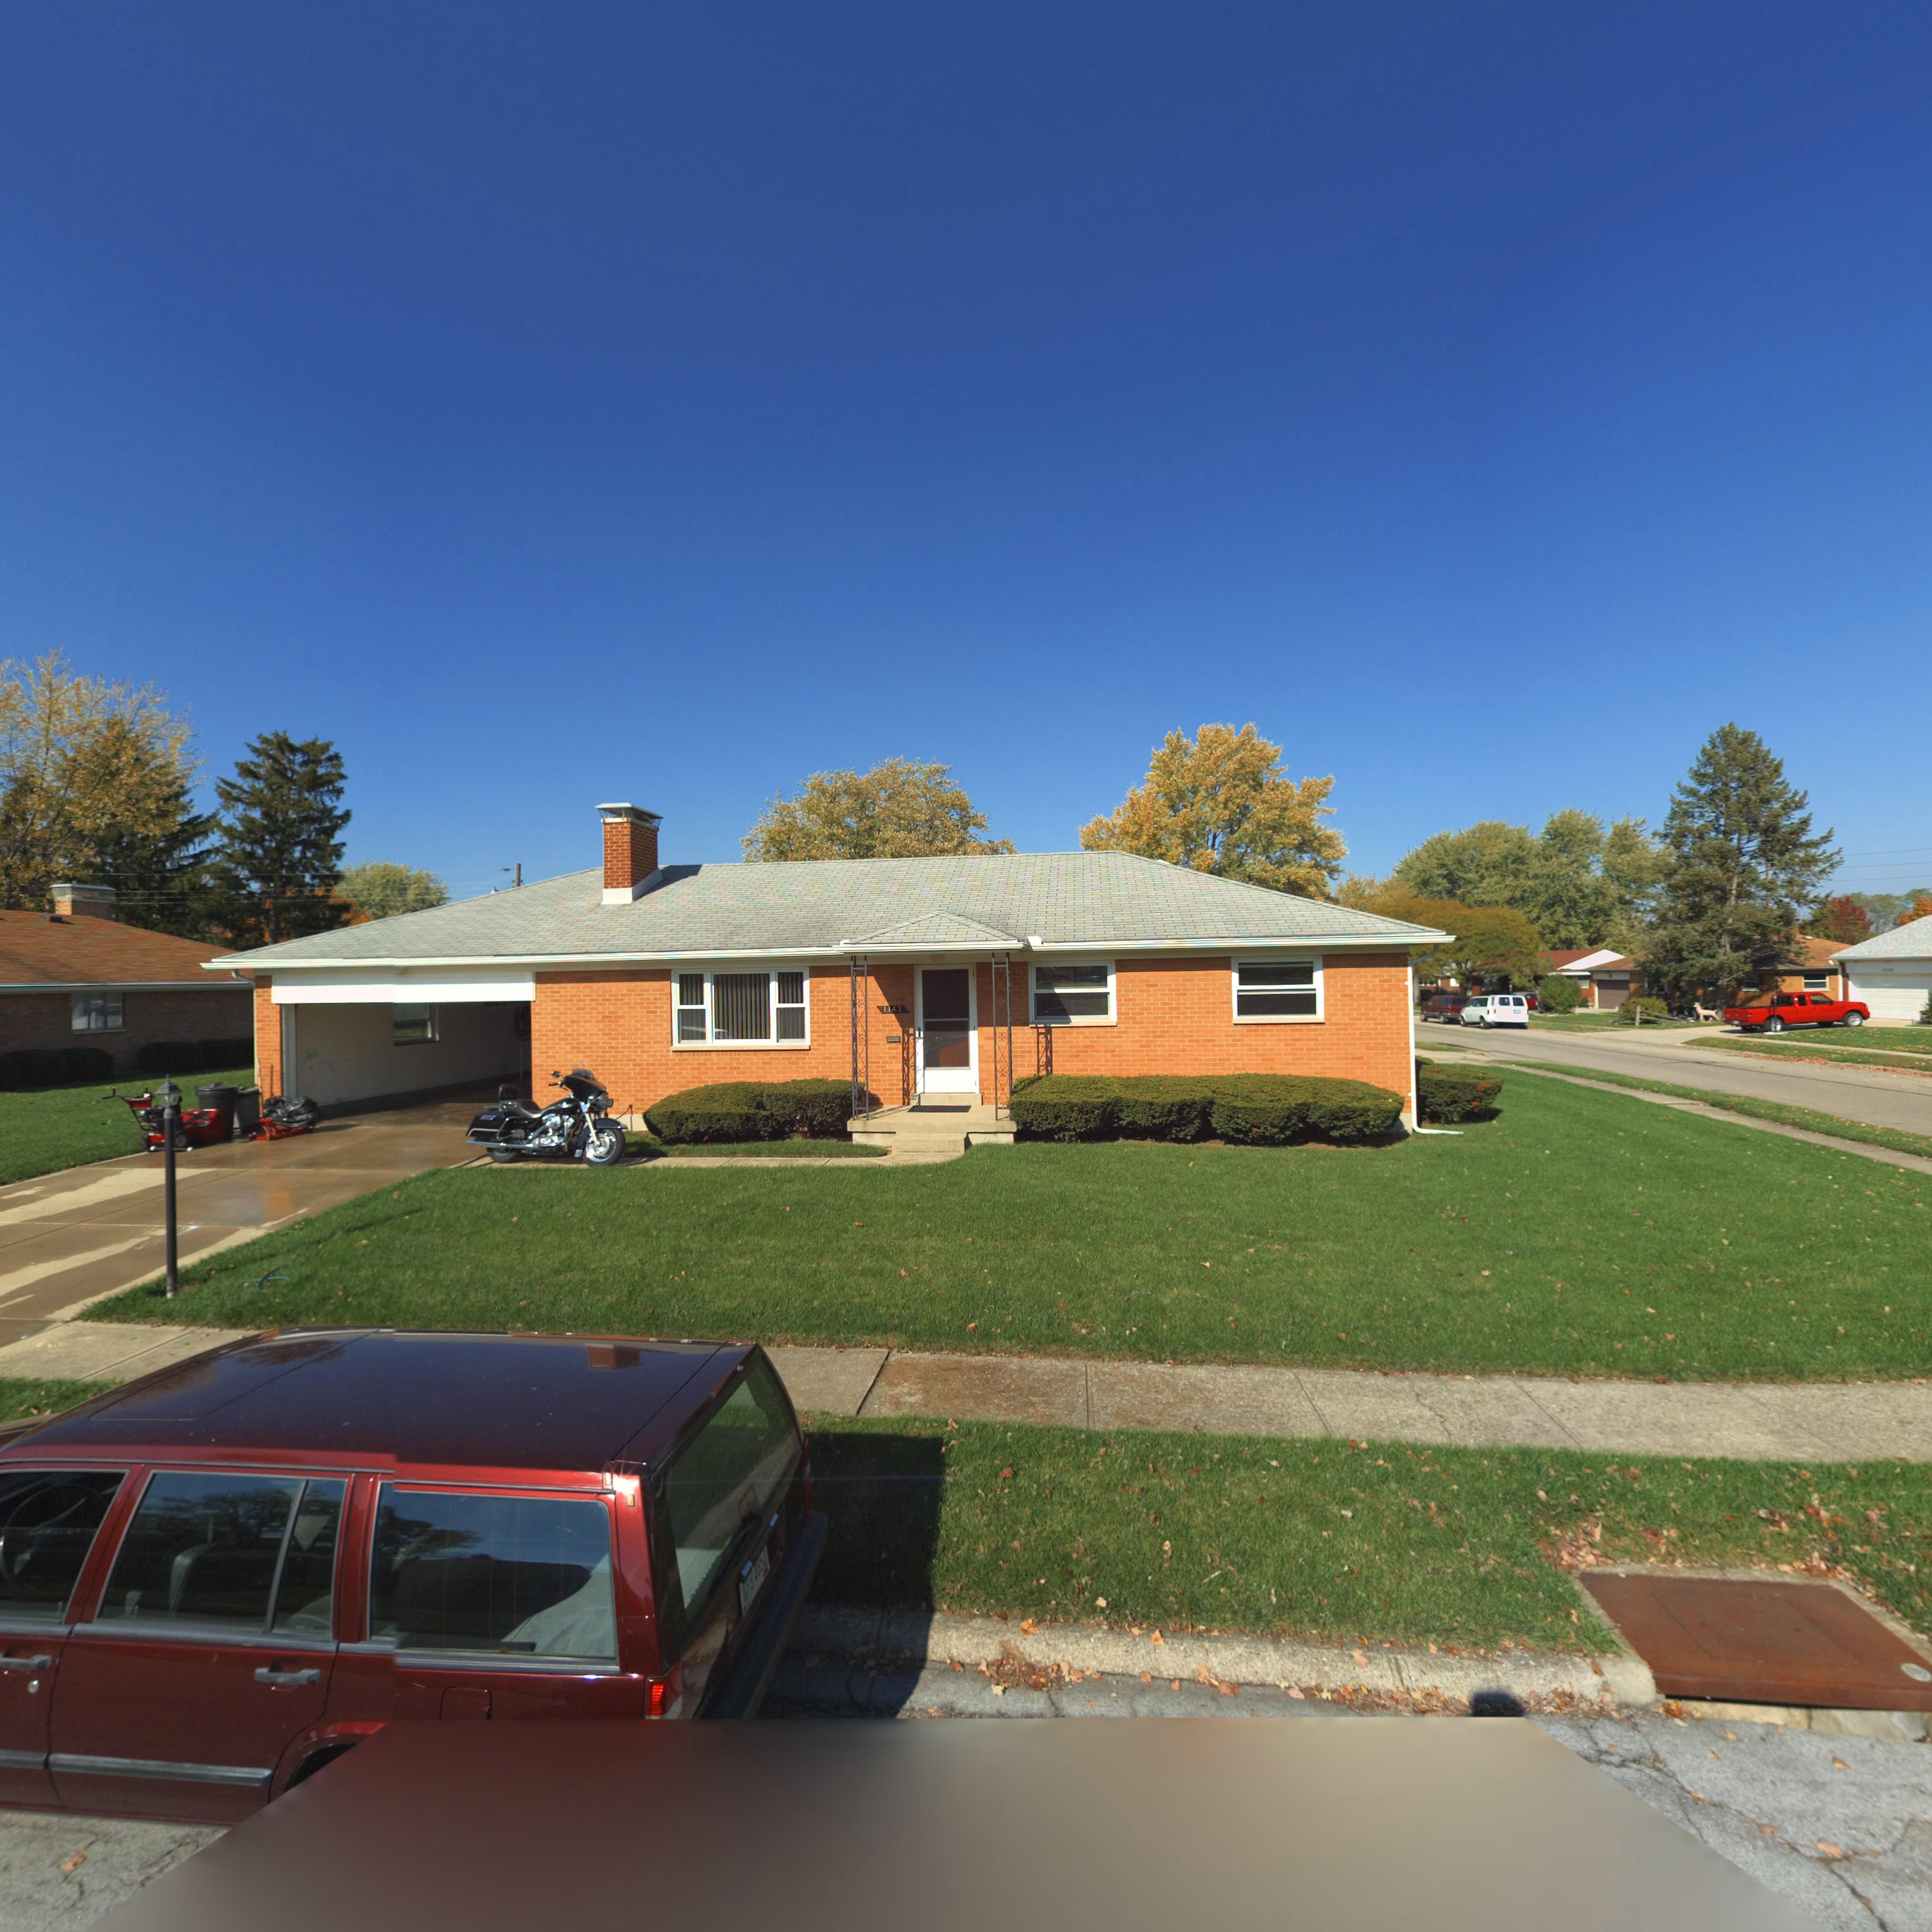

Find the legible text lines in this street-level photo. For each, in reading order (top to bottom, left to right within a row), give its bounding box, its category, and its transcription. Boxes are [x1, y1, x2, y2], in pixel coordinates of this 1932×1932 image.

[883, 1005, 903, 1013] StreetNumber: 1143
[747, 1544, 771, 1594] None: B4850